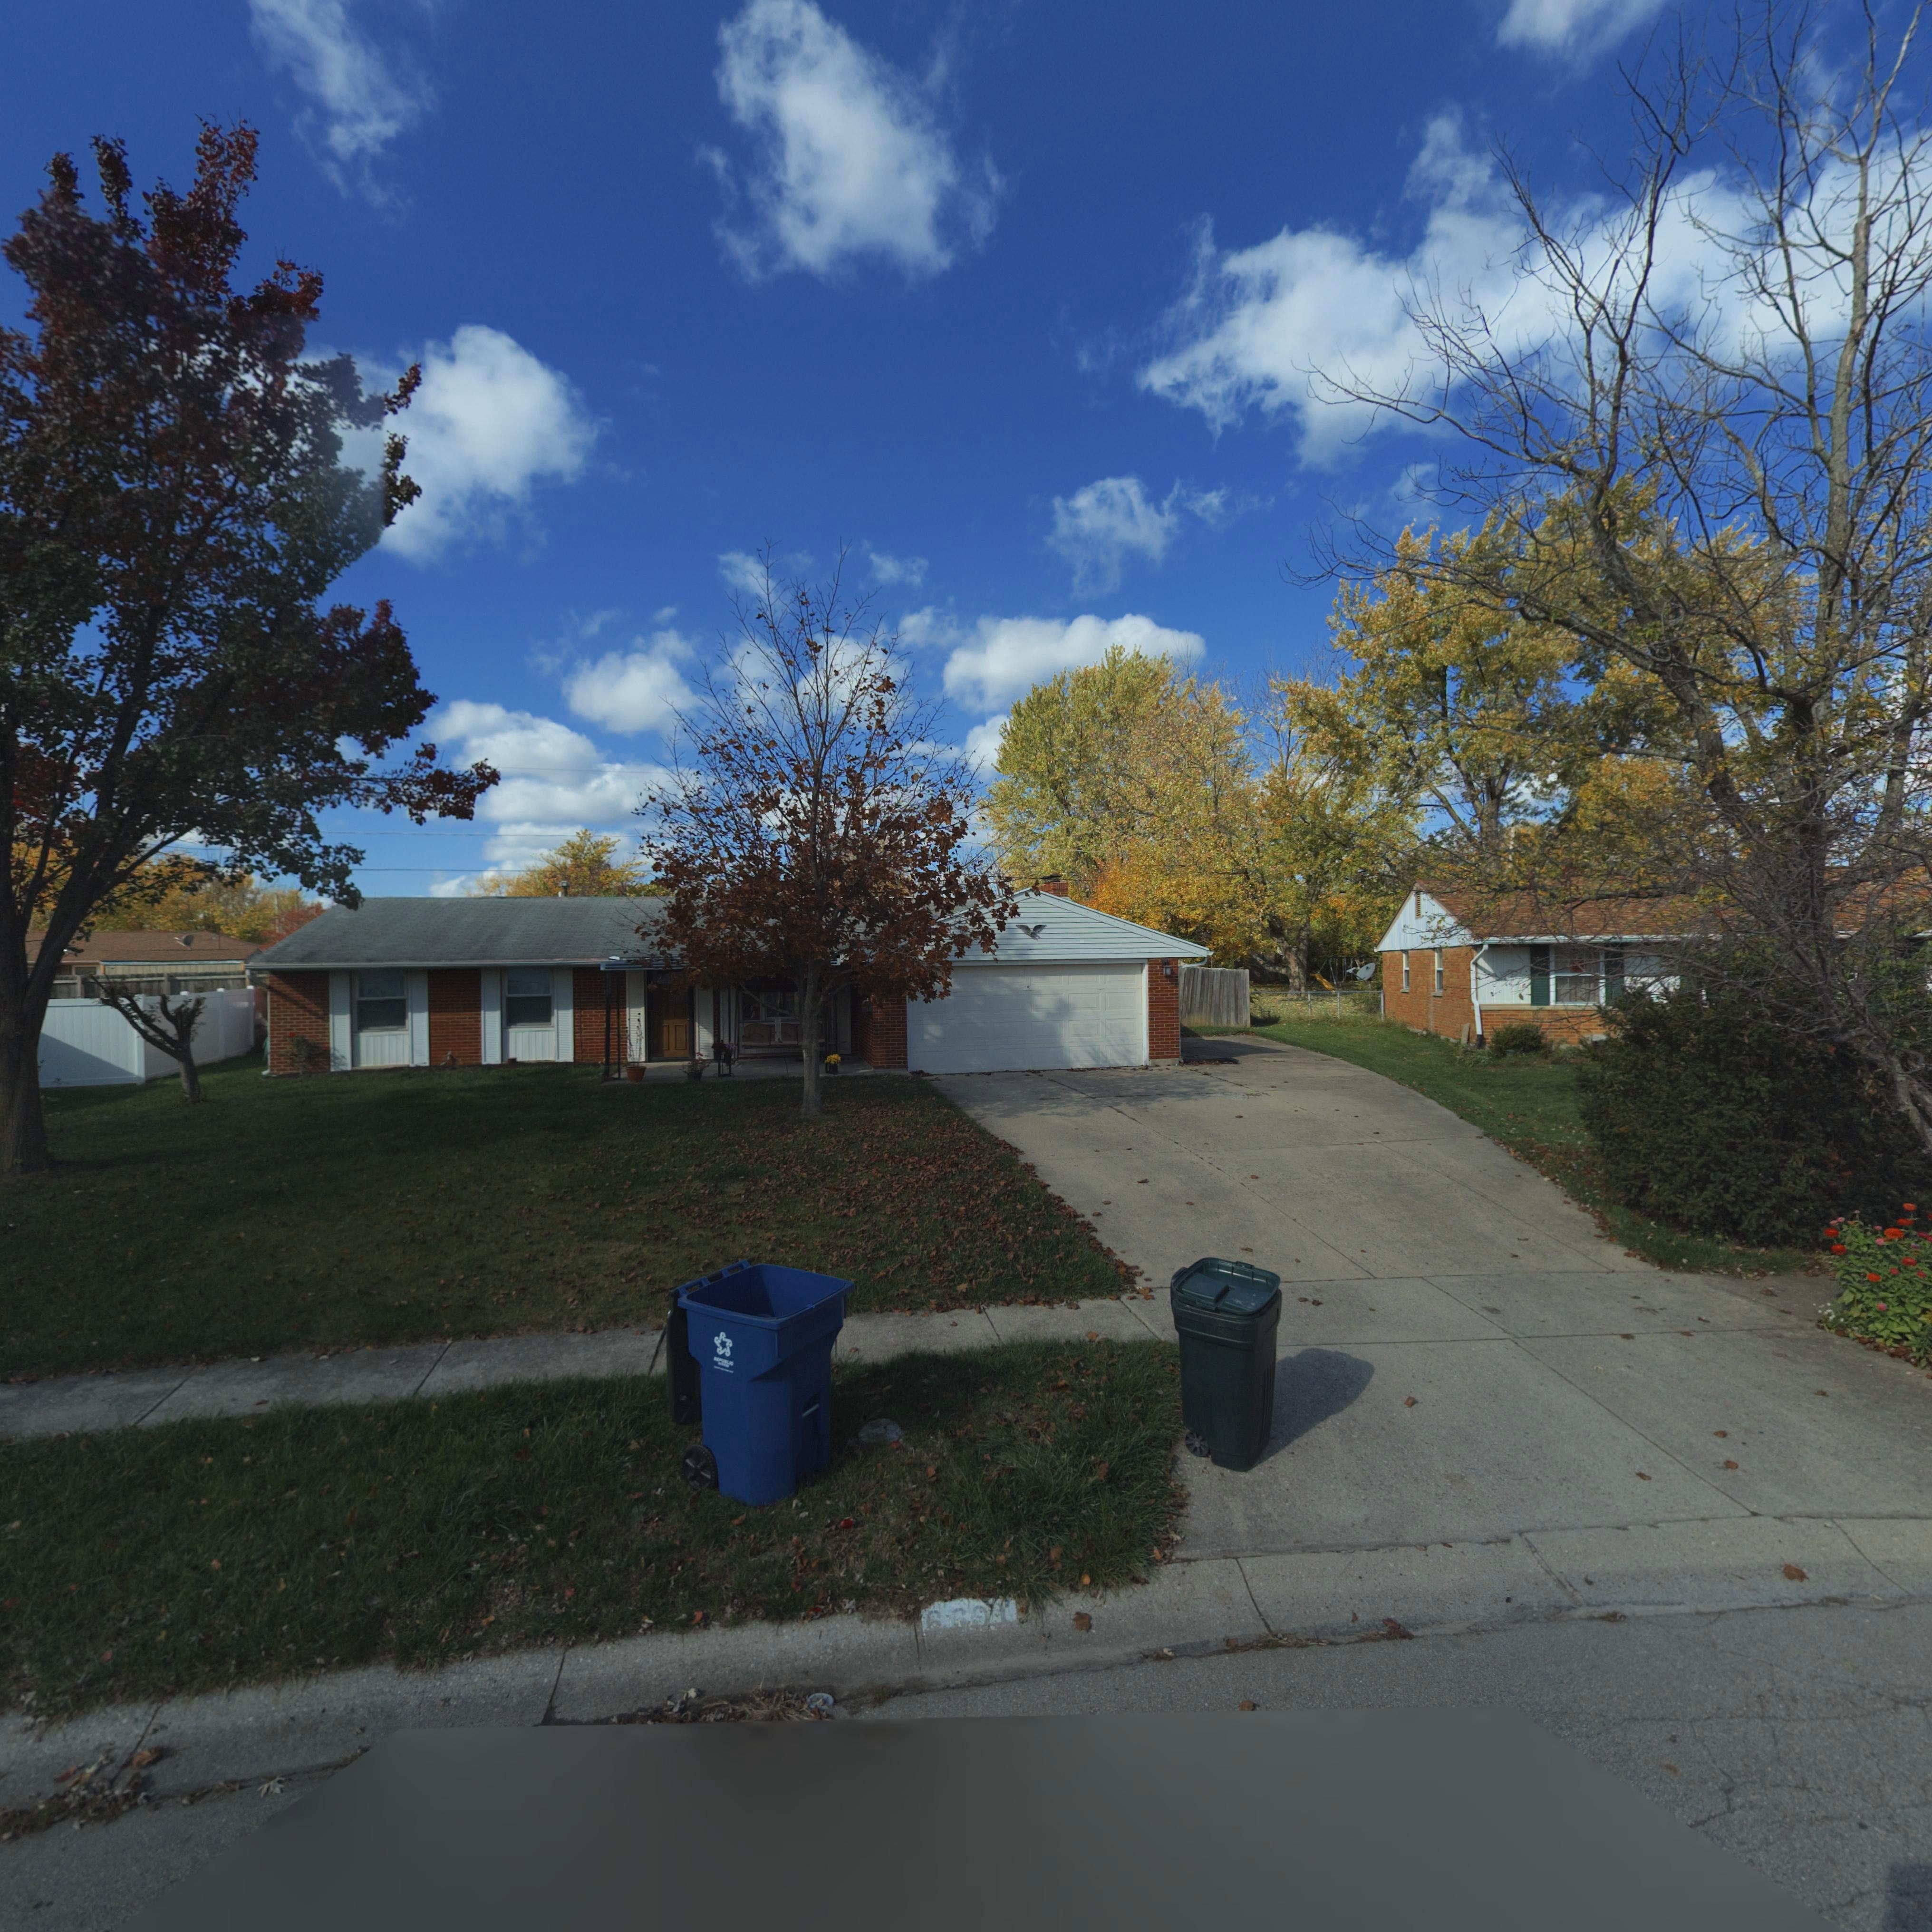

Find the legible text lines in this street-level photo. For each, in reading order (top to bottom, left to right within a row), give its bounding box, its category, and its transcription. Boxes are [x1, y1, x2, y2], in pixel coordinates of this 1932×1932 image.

[925, 1600, 1009, 1635] StreetNumber: 6601